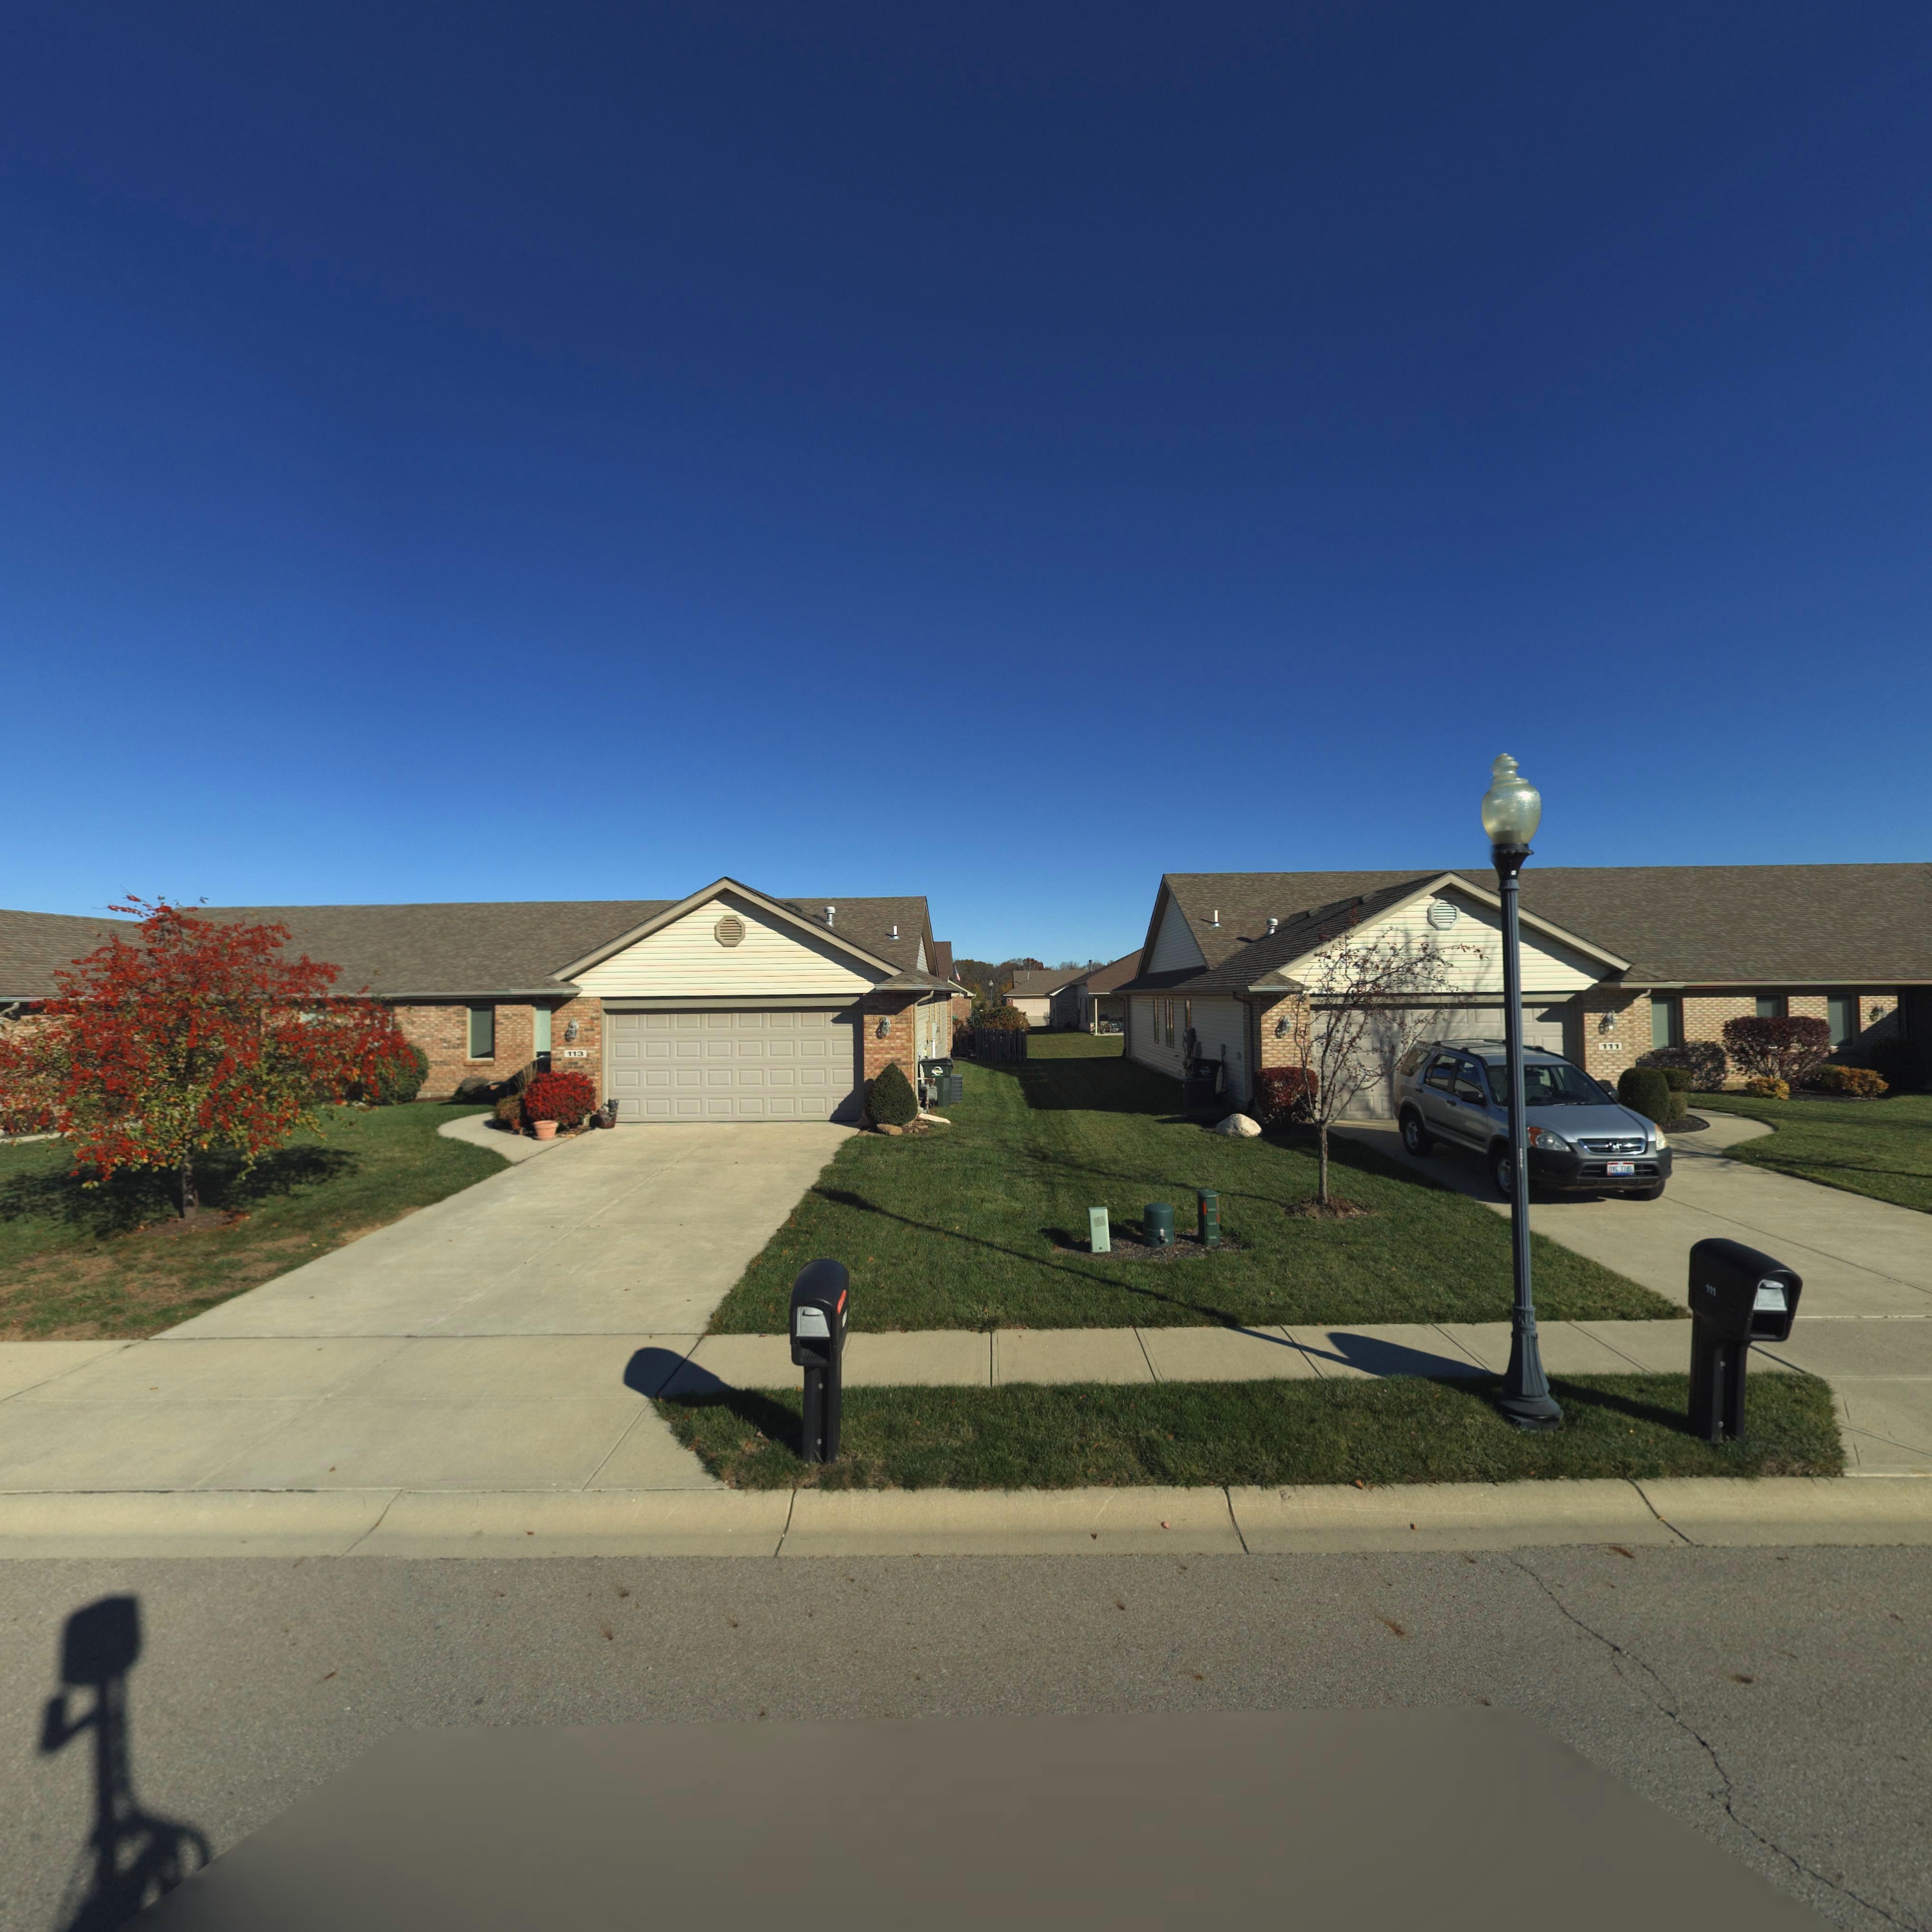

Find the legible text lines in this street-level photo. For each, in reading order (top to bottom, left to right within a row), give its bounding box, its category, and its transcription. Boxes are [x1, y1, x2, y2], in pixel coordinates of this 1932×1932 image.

[1601, 1043, 1620, 1050] StreetNumber: 111
[567, 1050, 584, 1057] StreetNumber: 113
[1705, 1283, 1717, 1297] StreetNumber: 111